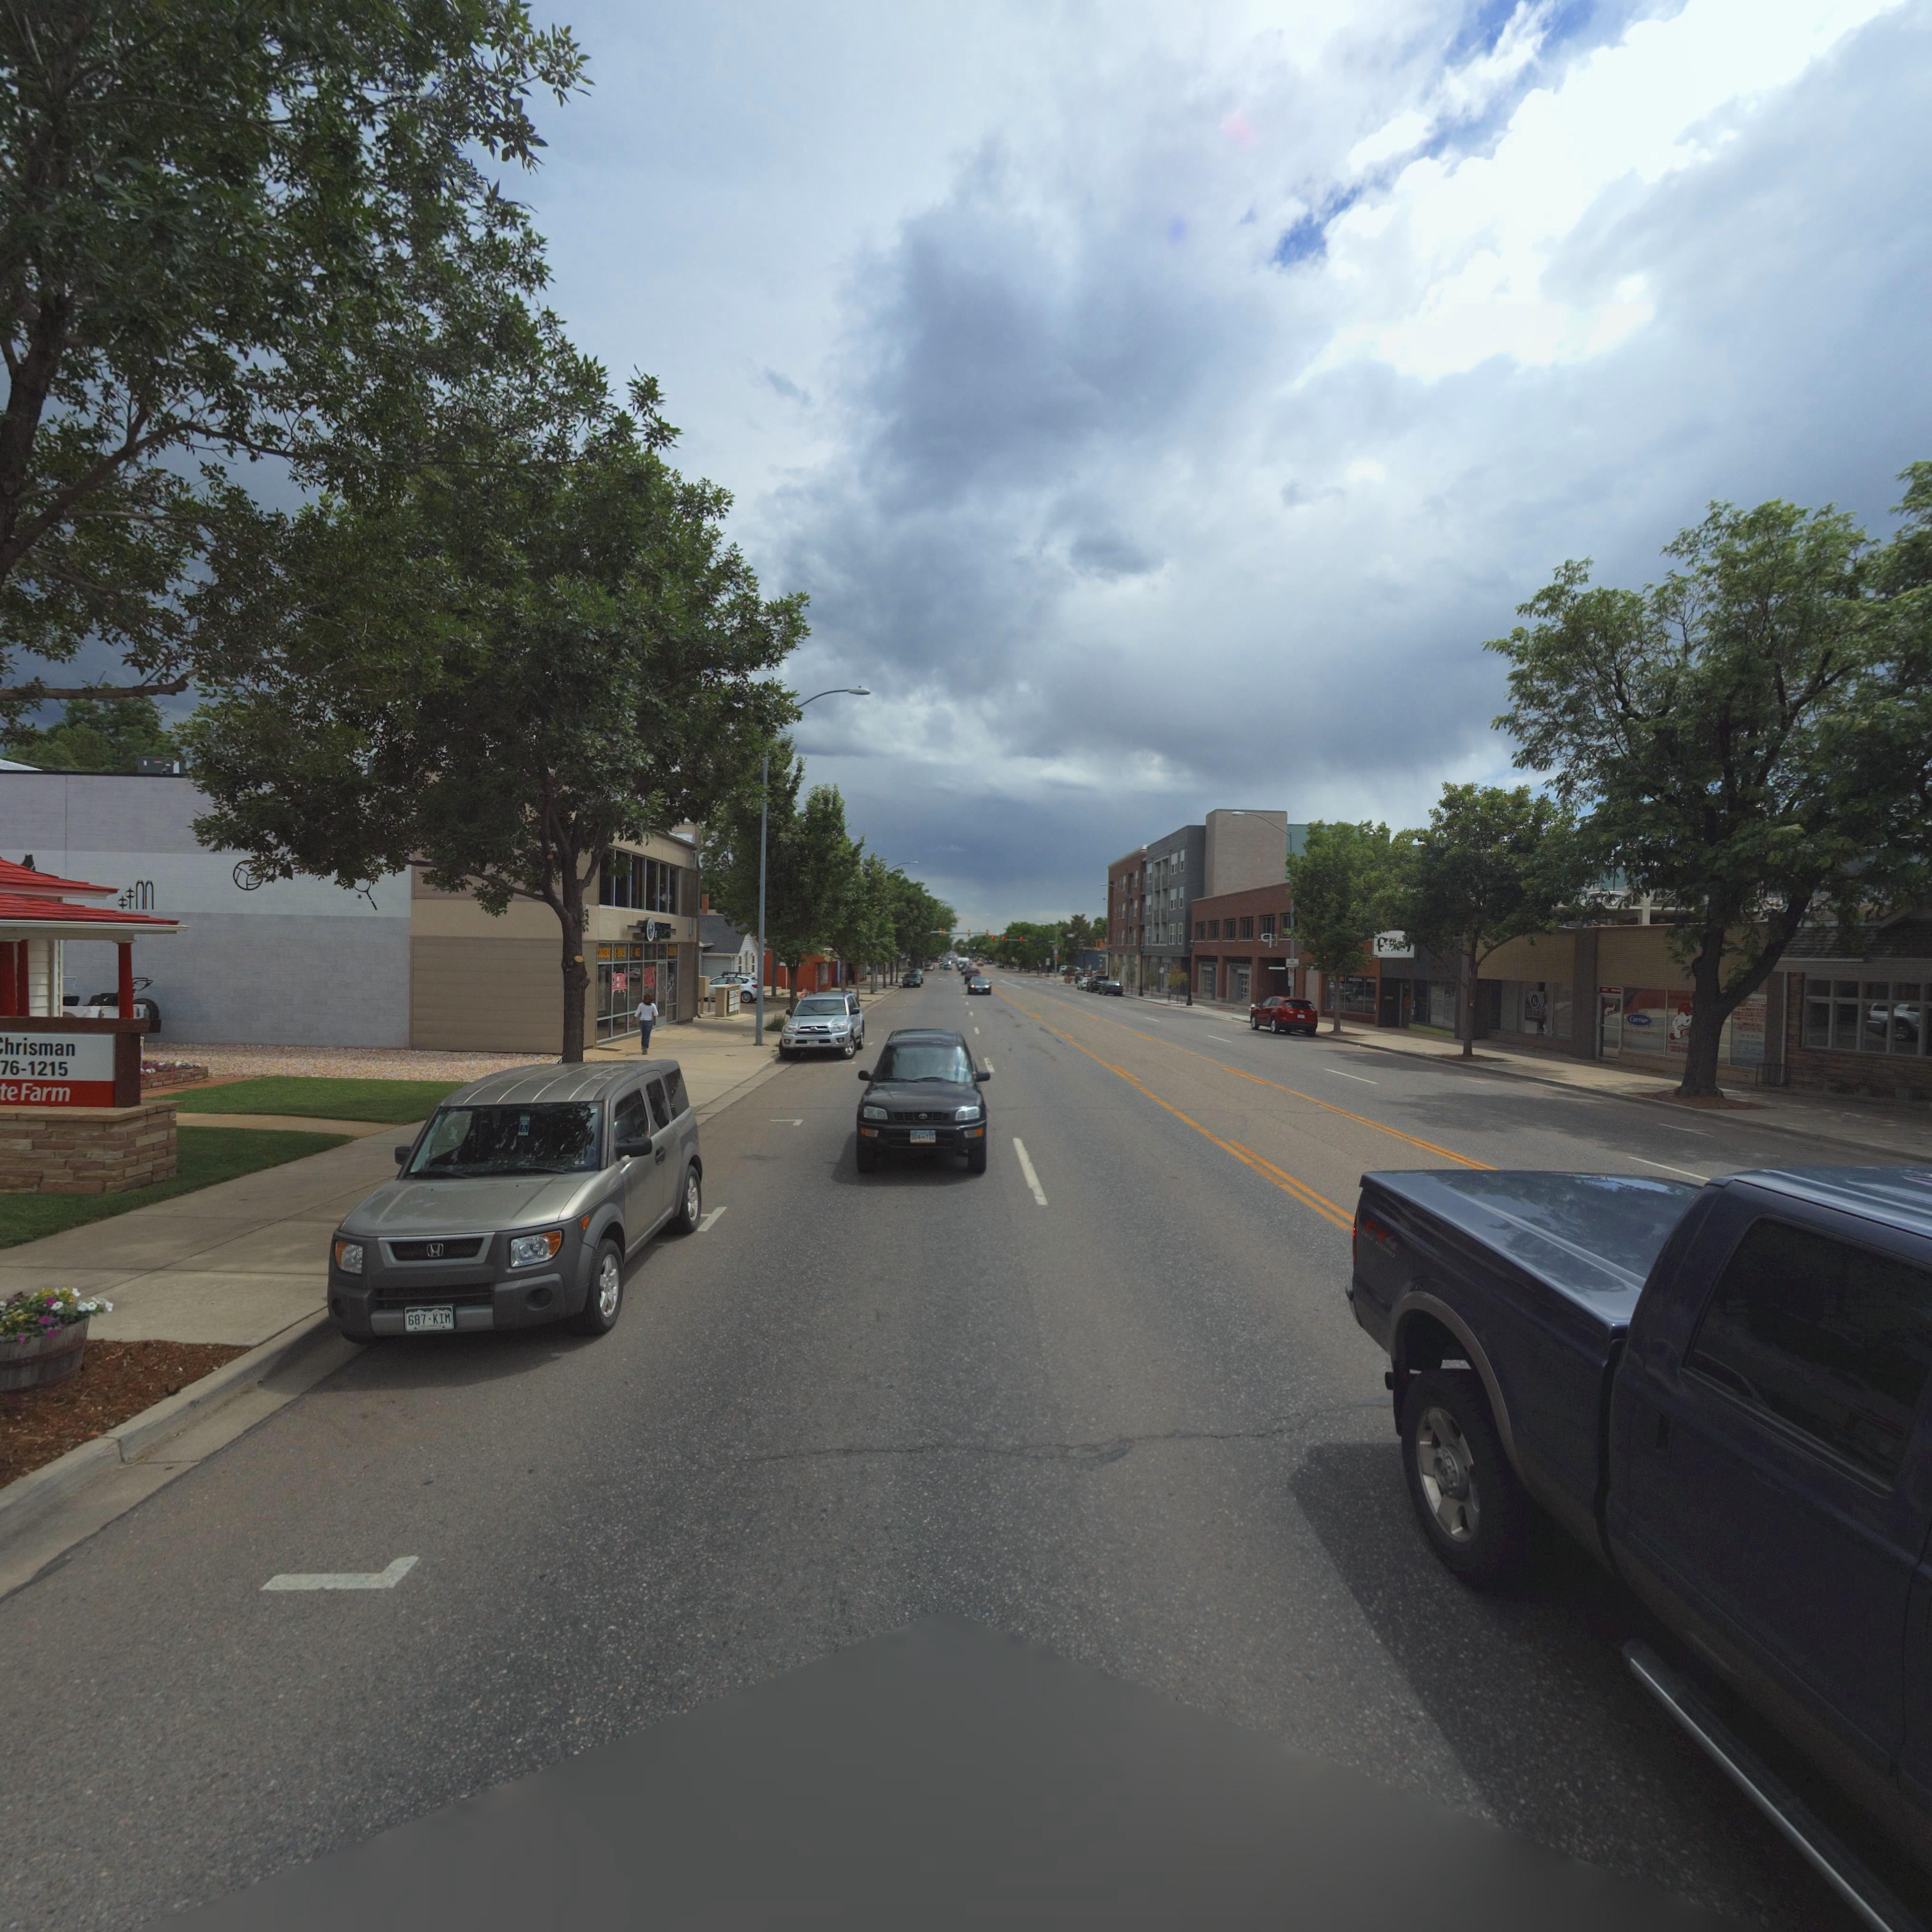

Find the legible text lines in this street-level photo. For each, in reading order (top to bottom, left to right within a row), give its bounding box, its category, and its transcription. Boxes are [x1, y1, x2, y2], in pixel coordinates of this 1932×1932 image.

[1375, 937, 1389, 952] BusinessName: f